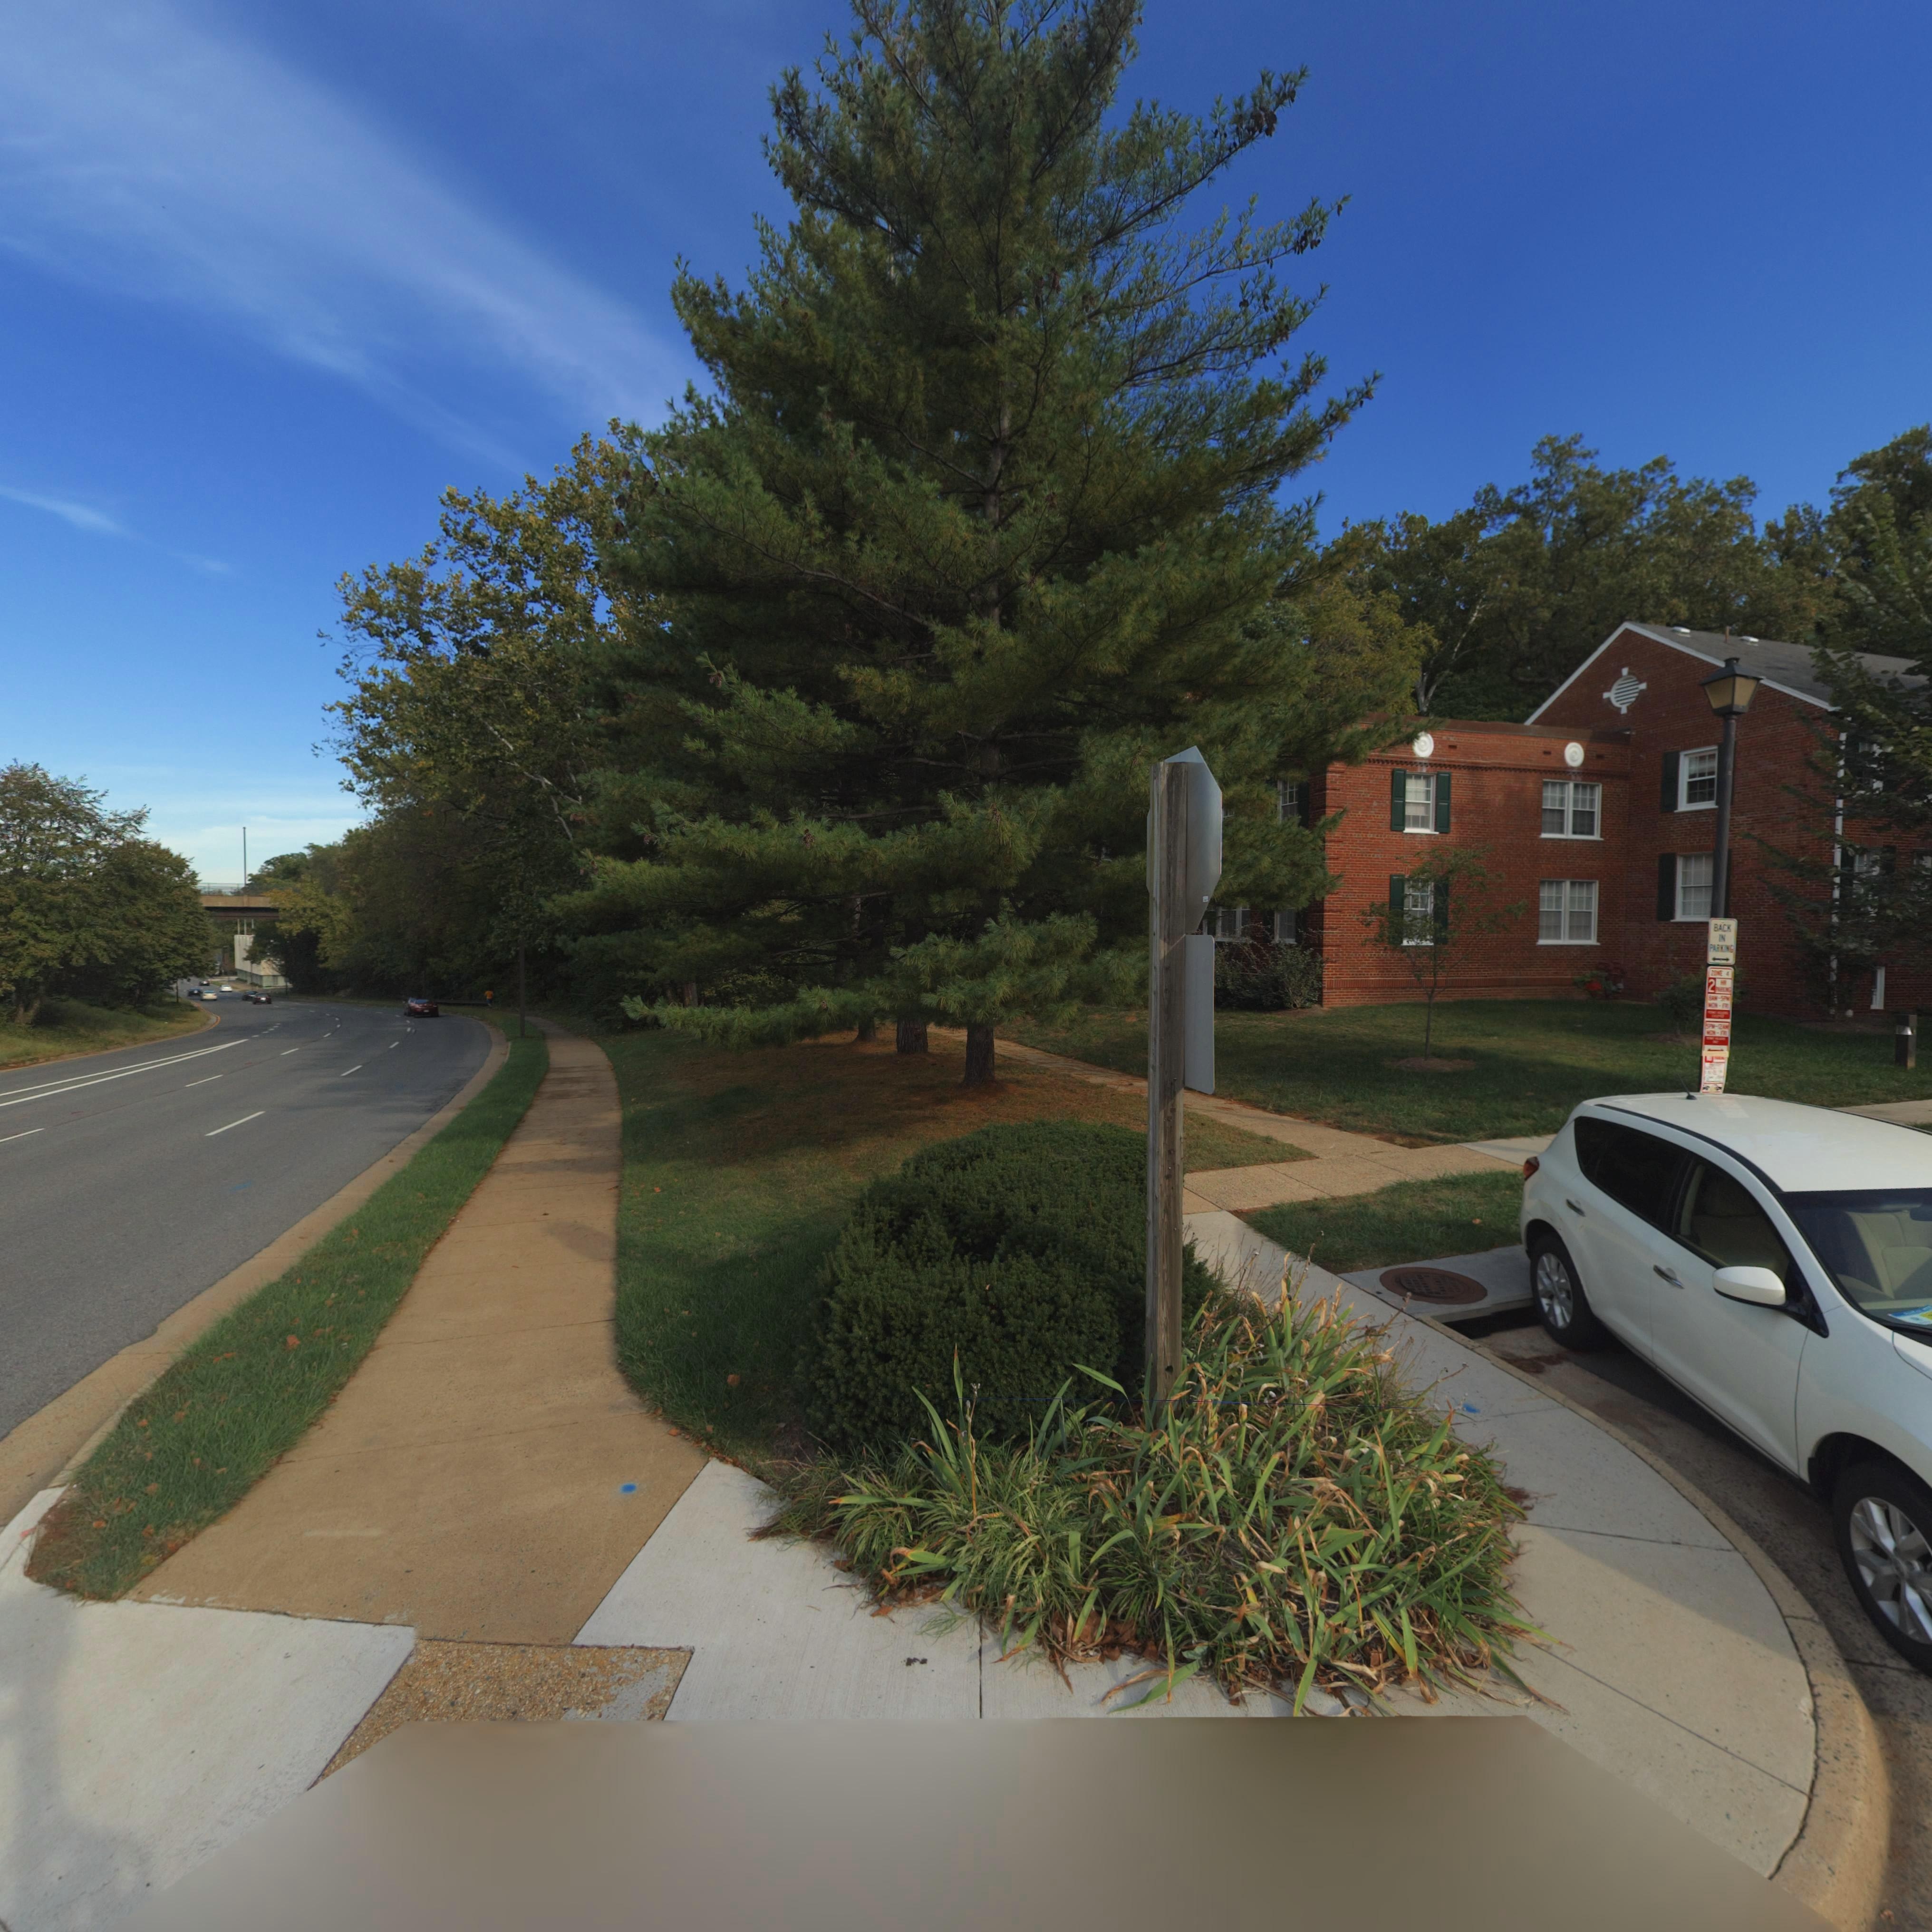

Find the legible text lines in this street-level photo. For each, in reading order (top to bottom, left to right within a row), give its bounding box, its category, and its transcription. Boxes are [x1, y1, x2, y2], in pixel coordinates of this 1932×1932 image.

[1712, 922, 1733, 934] None: BACK
[1718, 933, 1728, 944] None: IN
[1709, 942, 1734, 954] None: PAR***G
[1725, 970, 1729, 977] None: 4
[1707, 977, 1716, 994] None: 2
[1719, 995, 1728, 1002] None: 5P
[1711, 1002, 1728, 1009] None: O*-F
[1705, 1023, 1723, 1030] None: 5P*-*2
[1708, 1030, 1724, 1037] None: O*-F